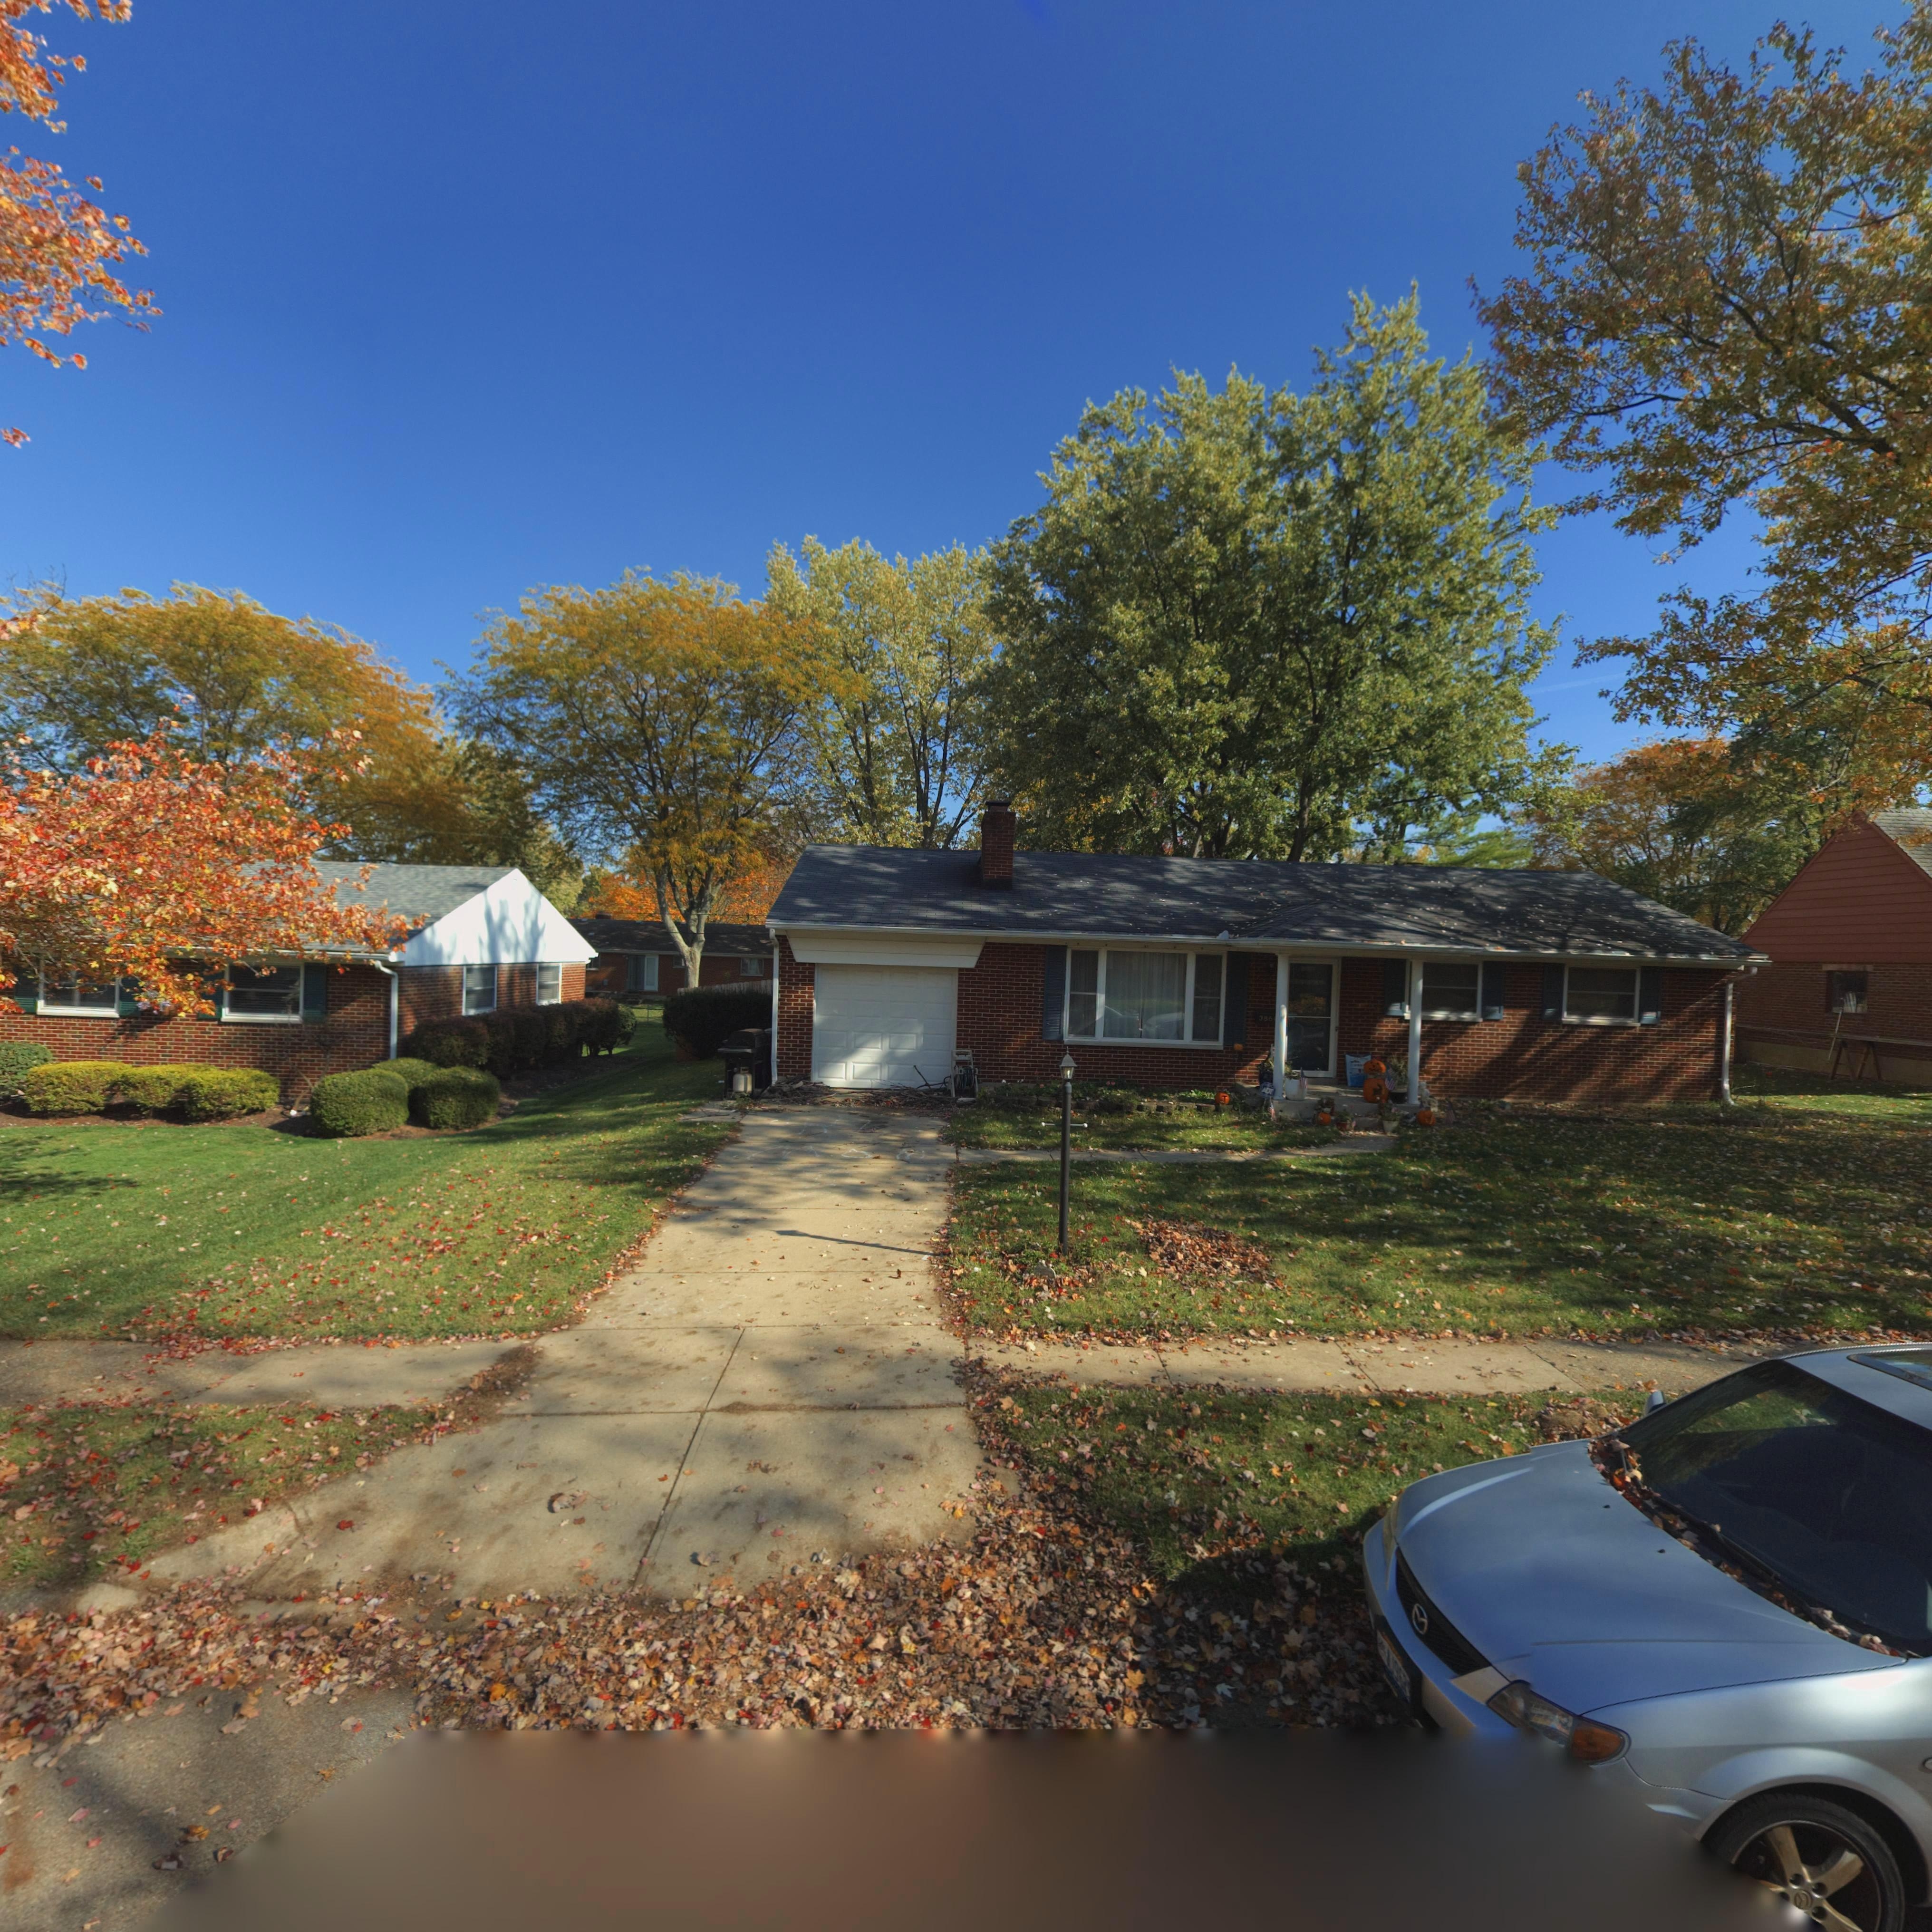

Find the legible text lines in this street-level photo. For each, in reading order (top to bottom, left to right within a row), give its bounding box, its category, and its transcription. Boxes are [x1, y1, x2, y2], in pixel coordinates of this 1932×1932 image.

[1257, 1014, 1274, 1023] StreetNumber: 386
[1260, 1085, 1275, 1096] None: ADT
[1221, 1094, 1228, 1102] None: T